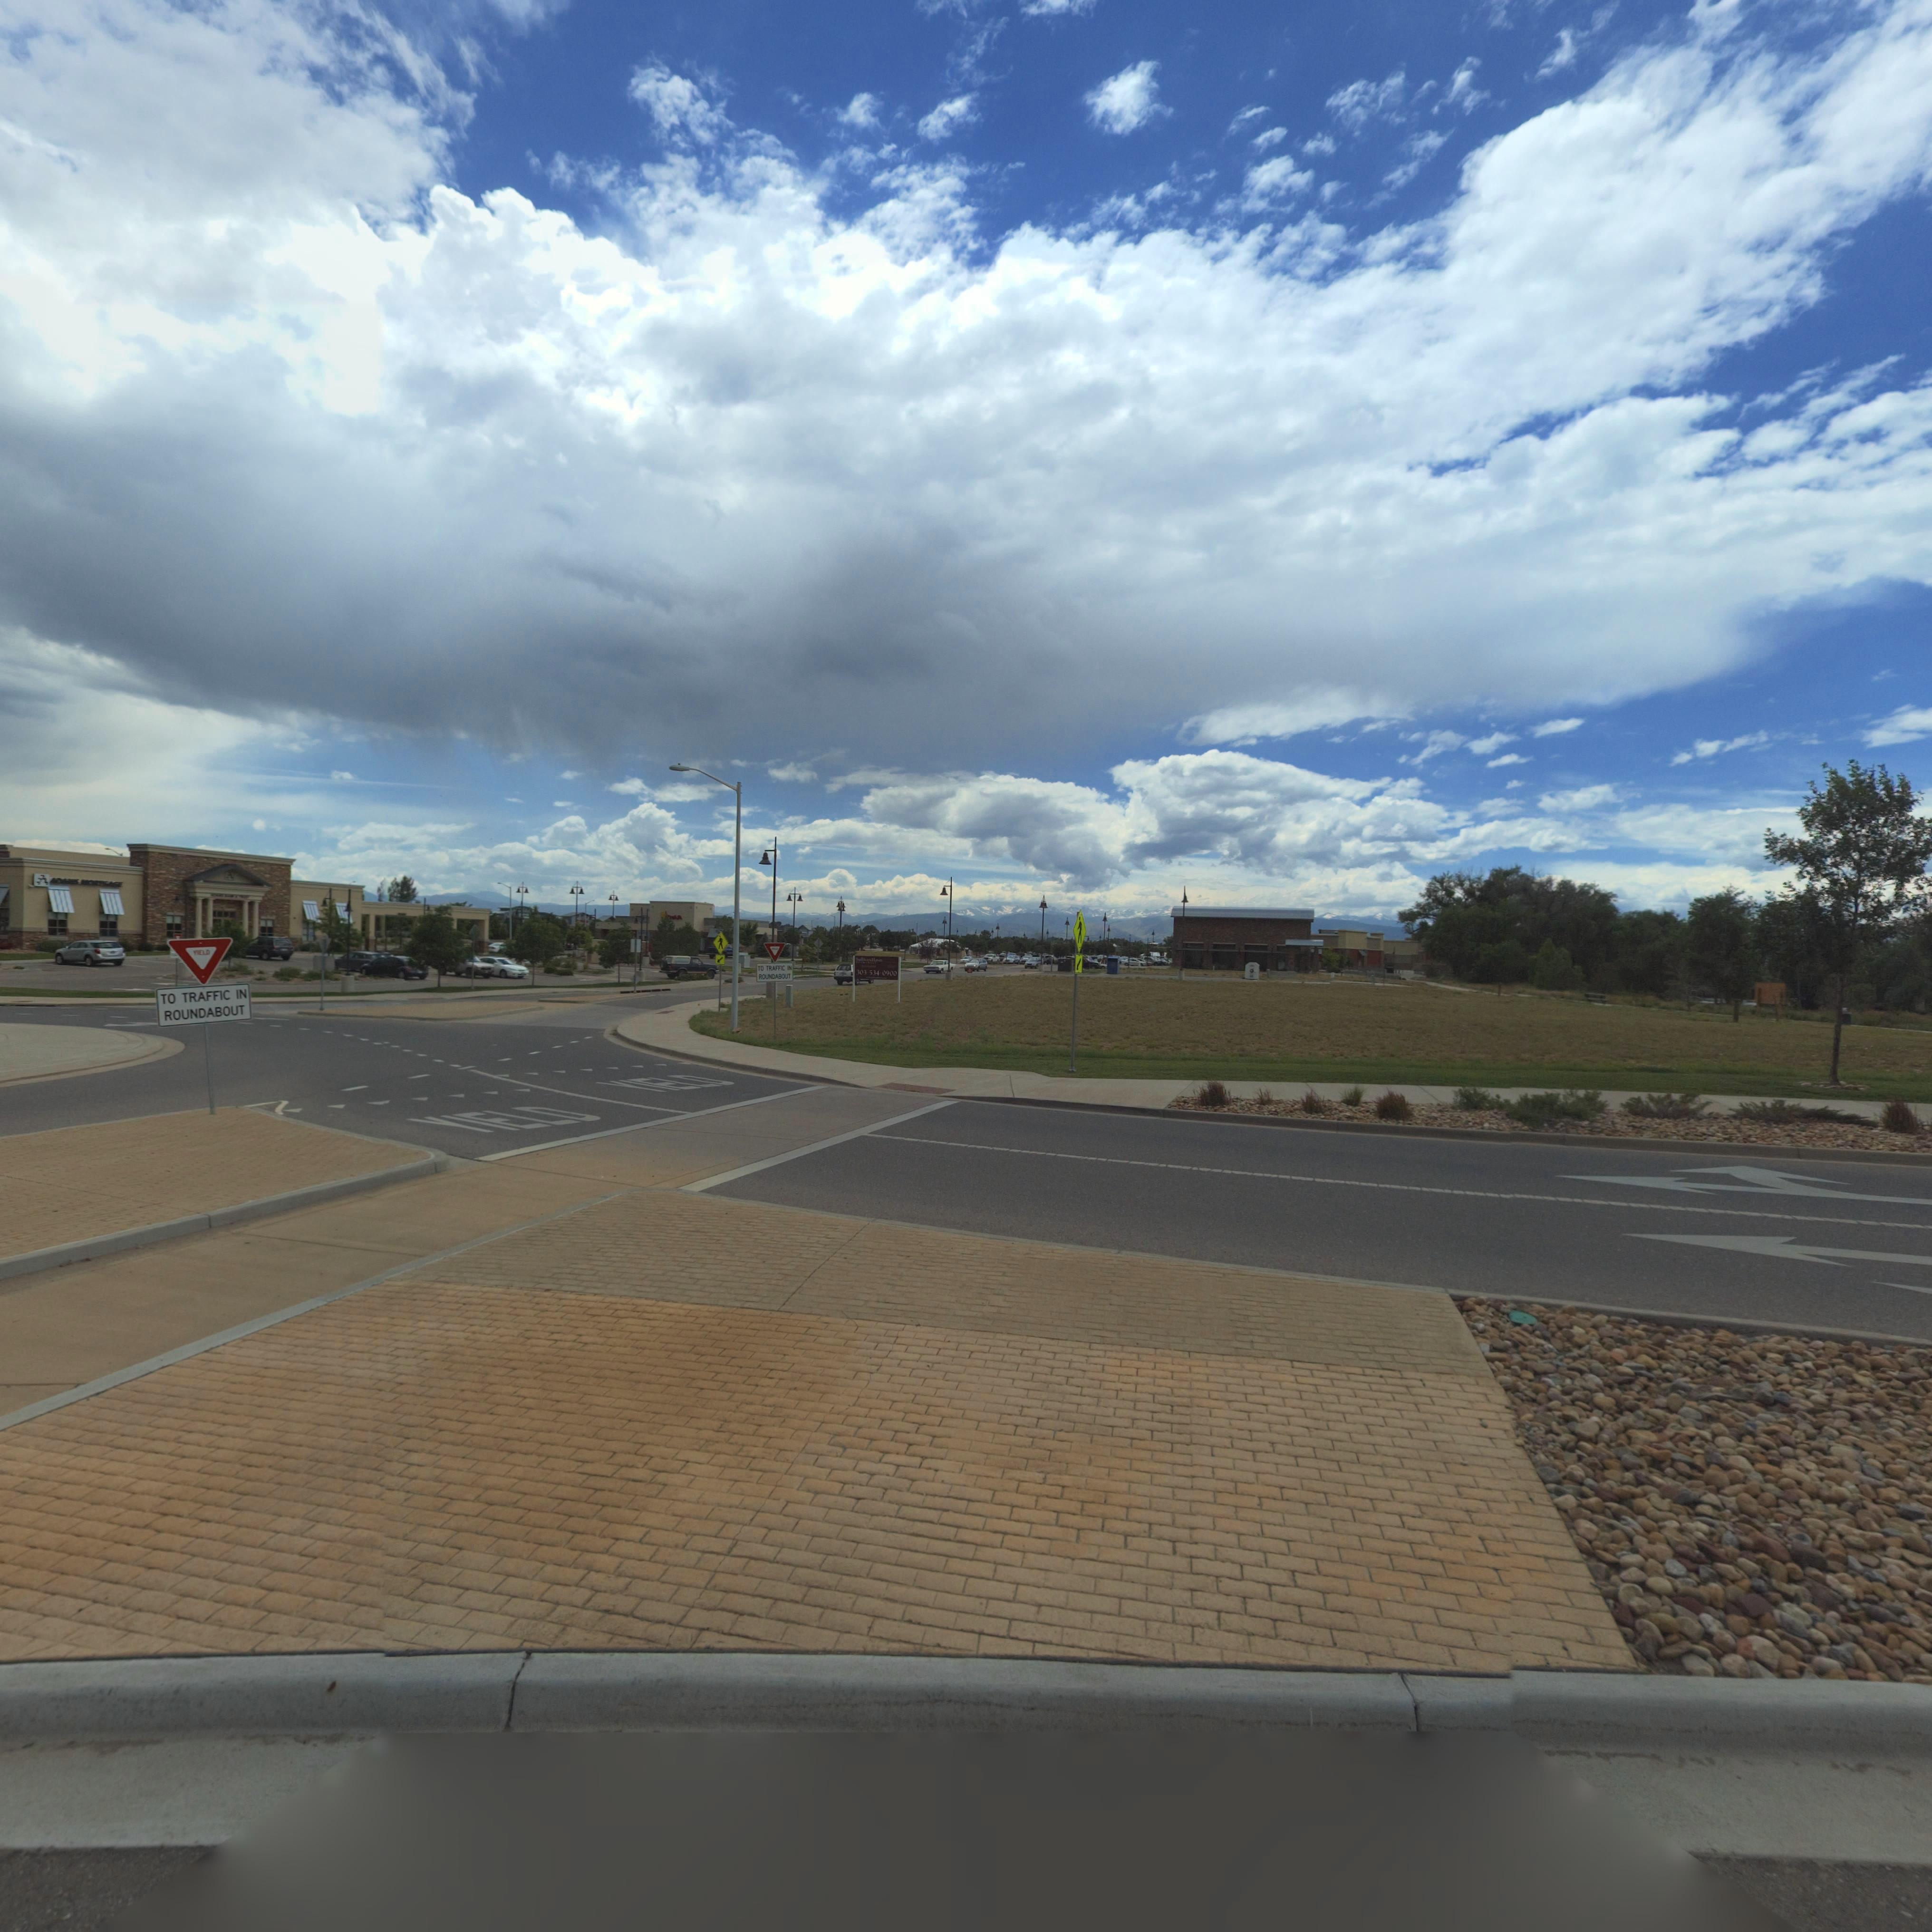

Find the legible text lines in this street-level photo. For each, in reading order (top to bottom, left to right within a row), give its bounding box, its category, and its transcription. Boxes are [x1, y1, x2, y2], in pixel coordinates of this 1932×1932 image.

[48, 878, 124, 888] BusinessName: ADAMS BROKERAGE